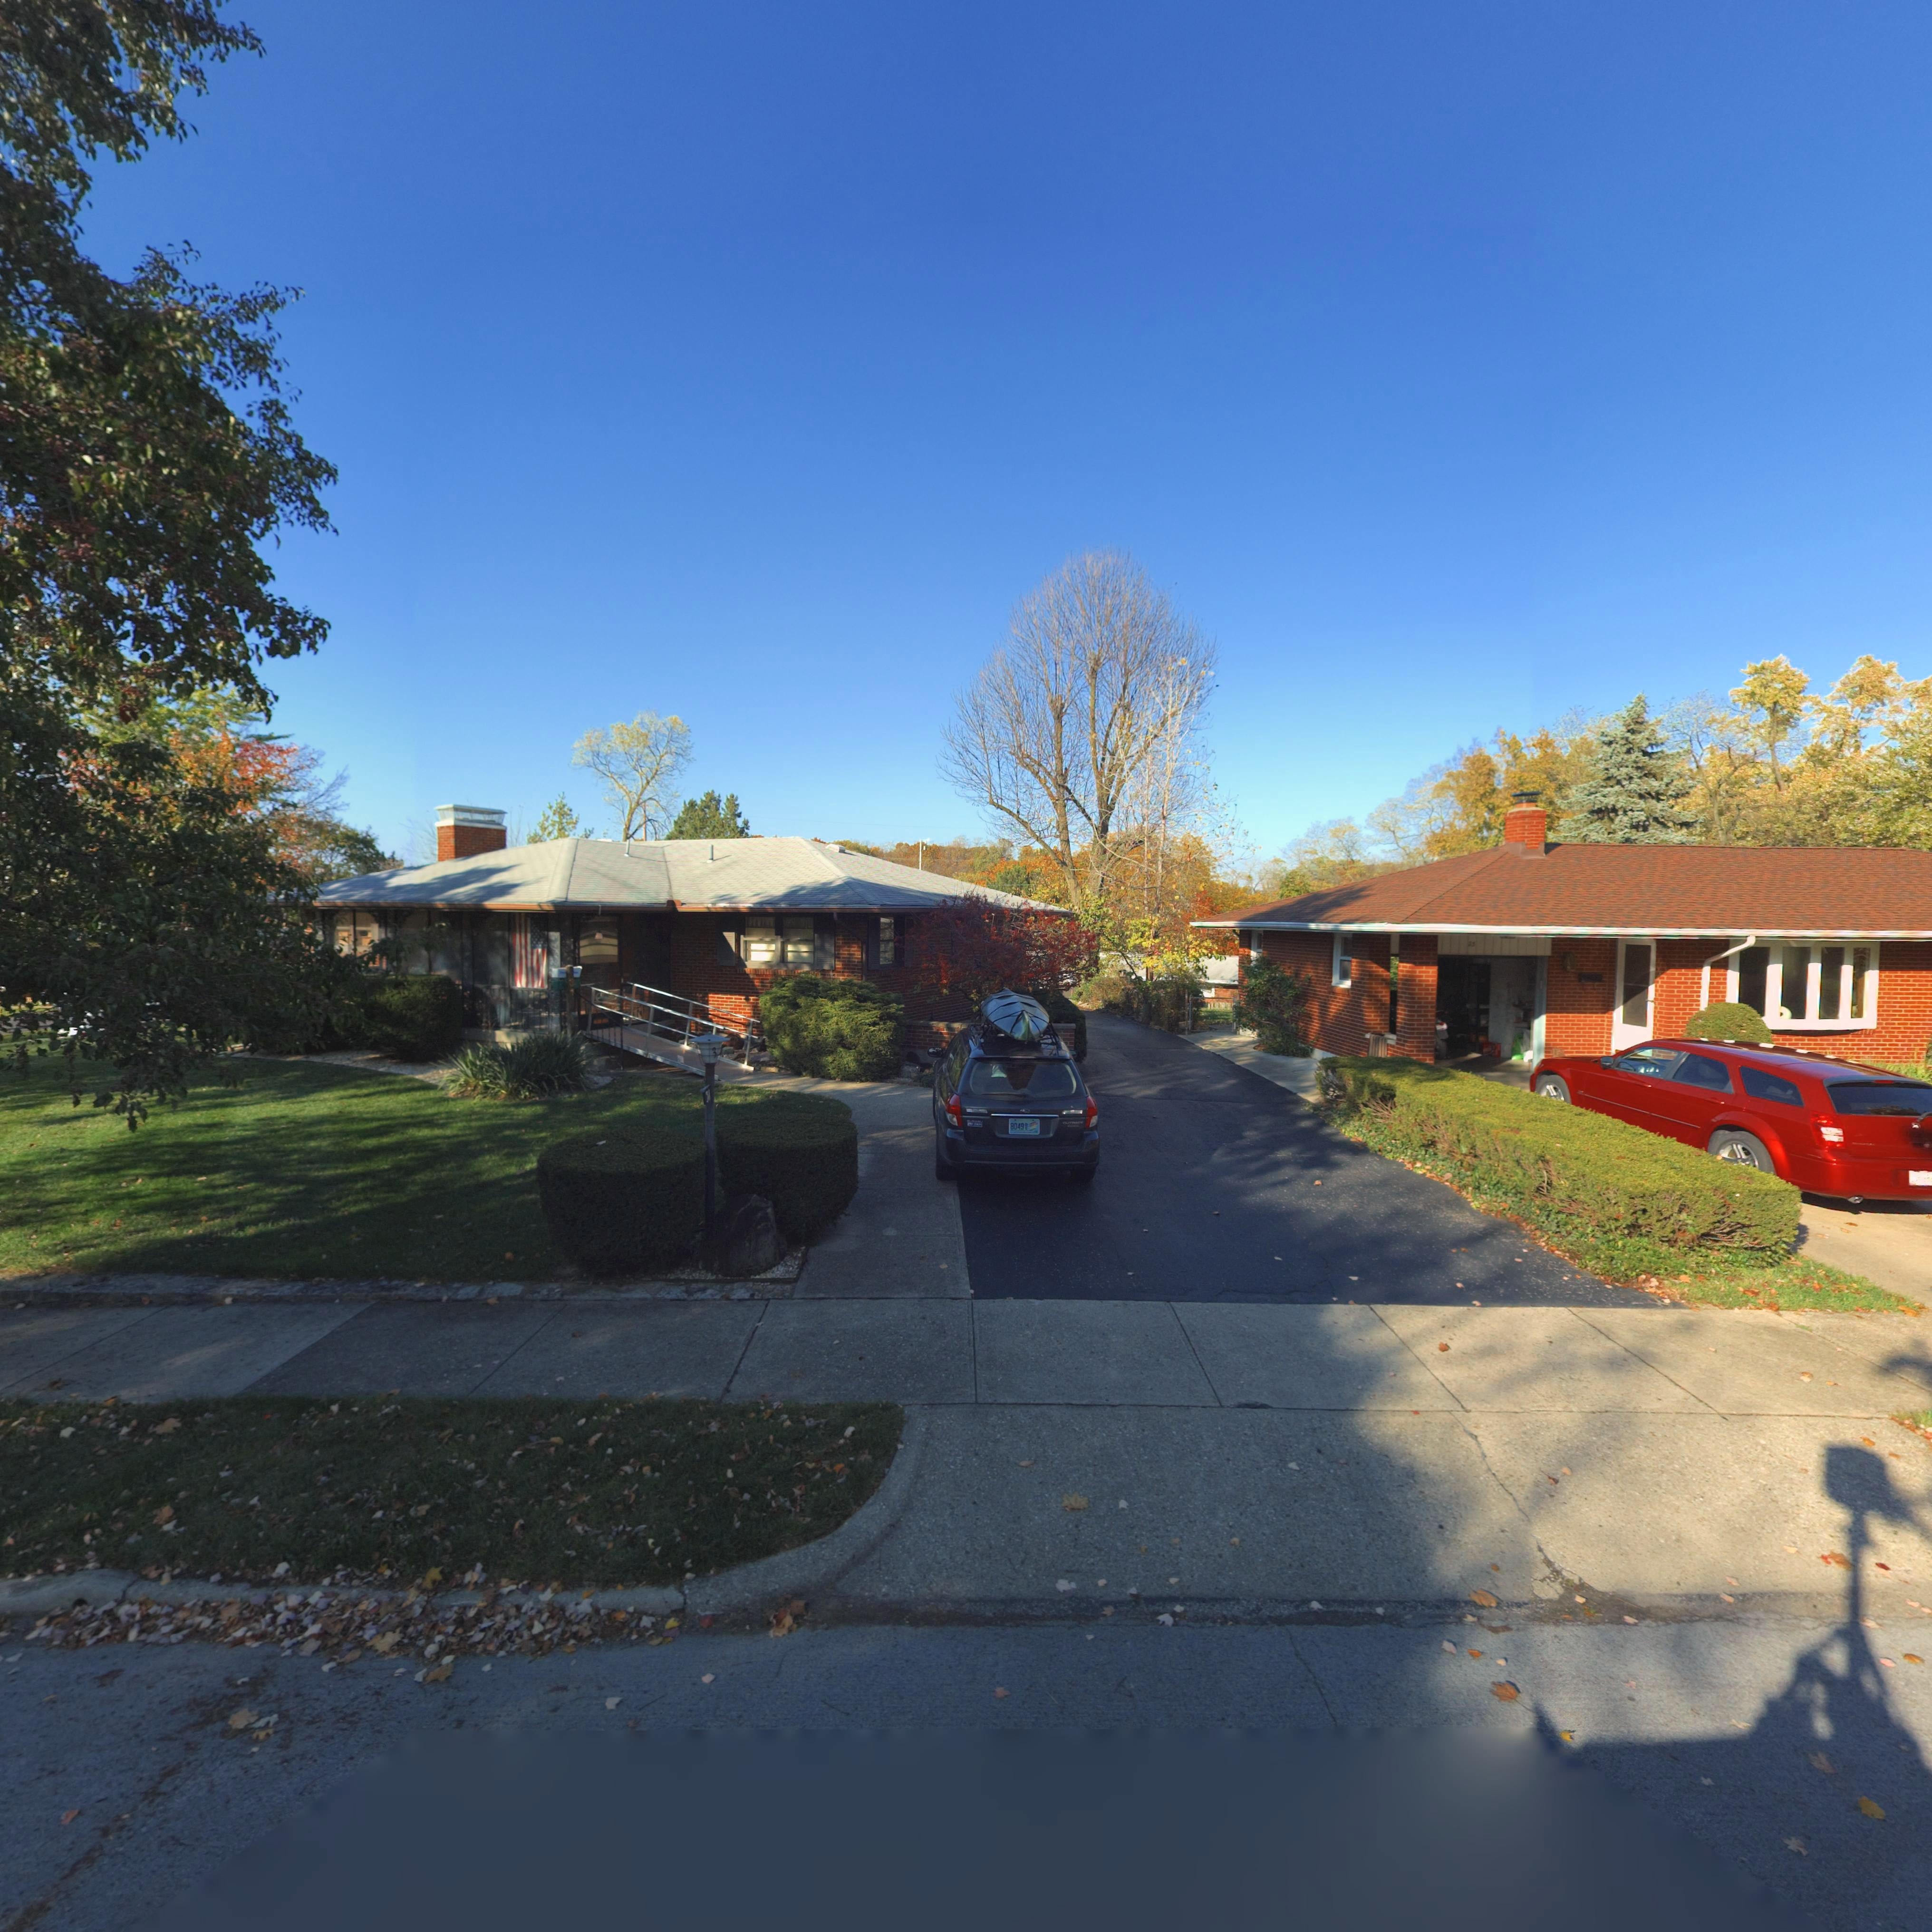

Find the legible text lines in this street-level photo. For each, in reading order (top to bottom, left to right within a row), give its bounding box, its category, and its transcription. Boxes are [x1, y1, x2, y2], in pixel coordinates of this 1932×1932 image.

[1467, 940, 1477, 947] StreetNumber: 23